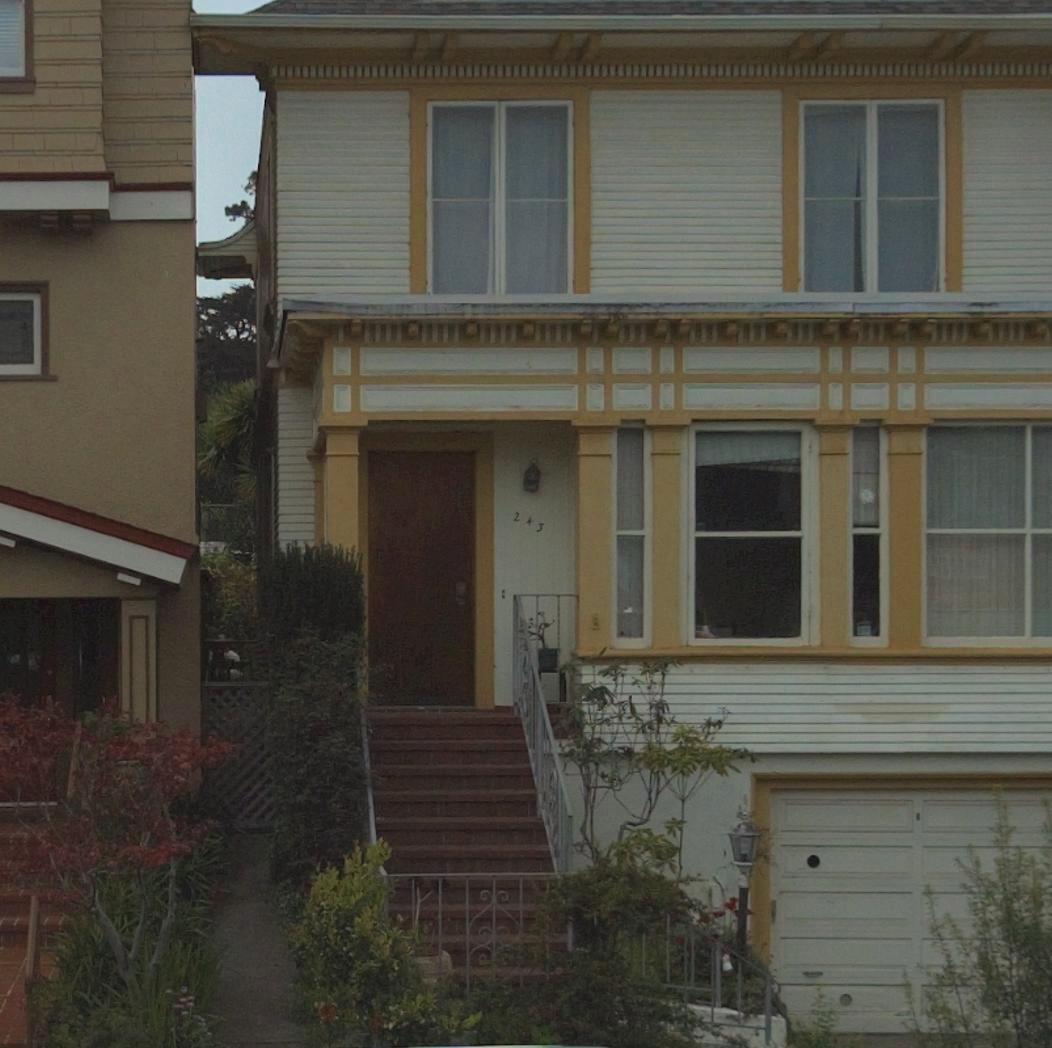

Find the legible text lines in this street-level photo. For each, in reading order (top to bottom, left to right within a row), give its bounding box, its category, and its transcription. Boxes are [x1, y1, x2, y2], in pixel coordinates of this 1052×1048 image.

[513, 510, 545, 532] StreetNumber: 243